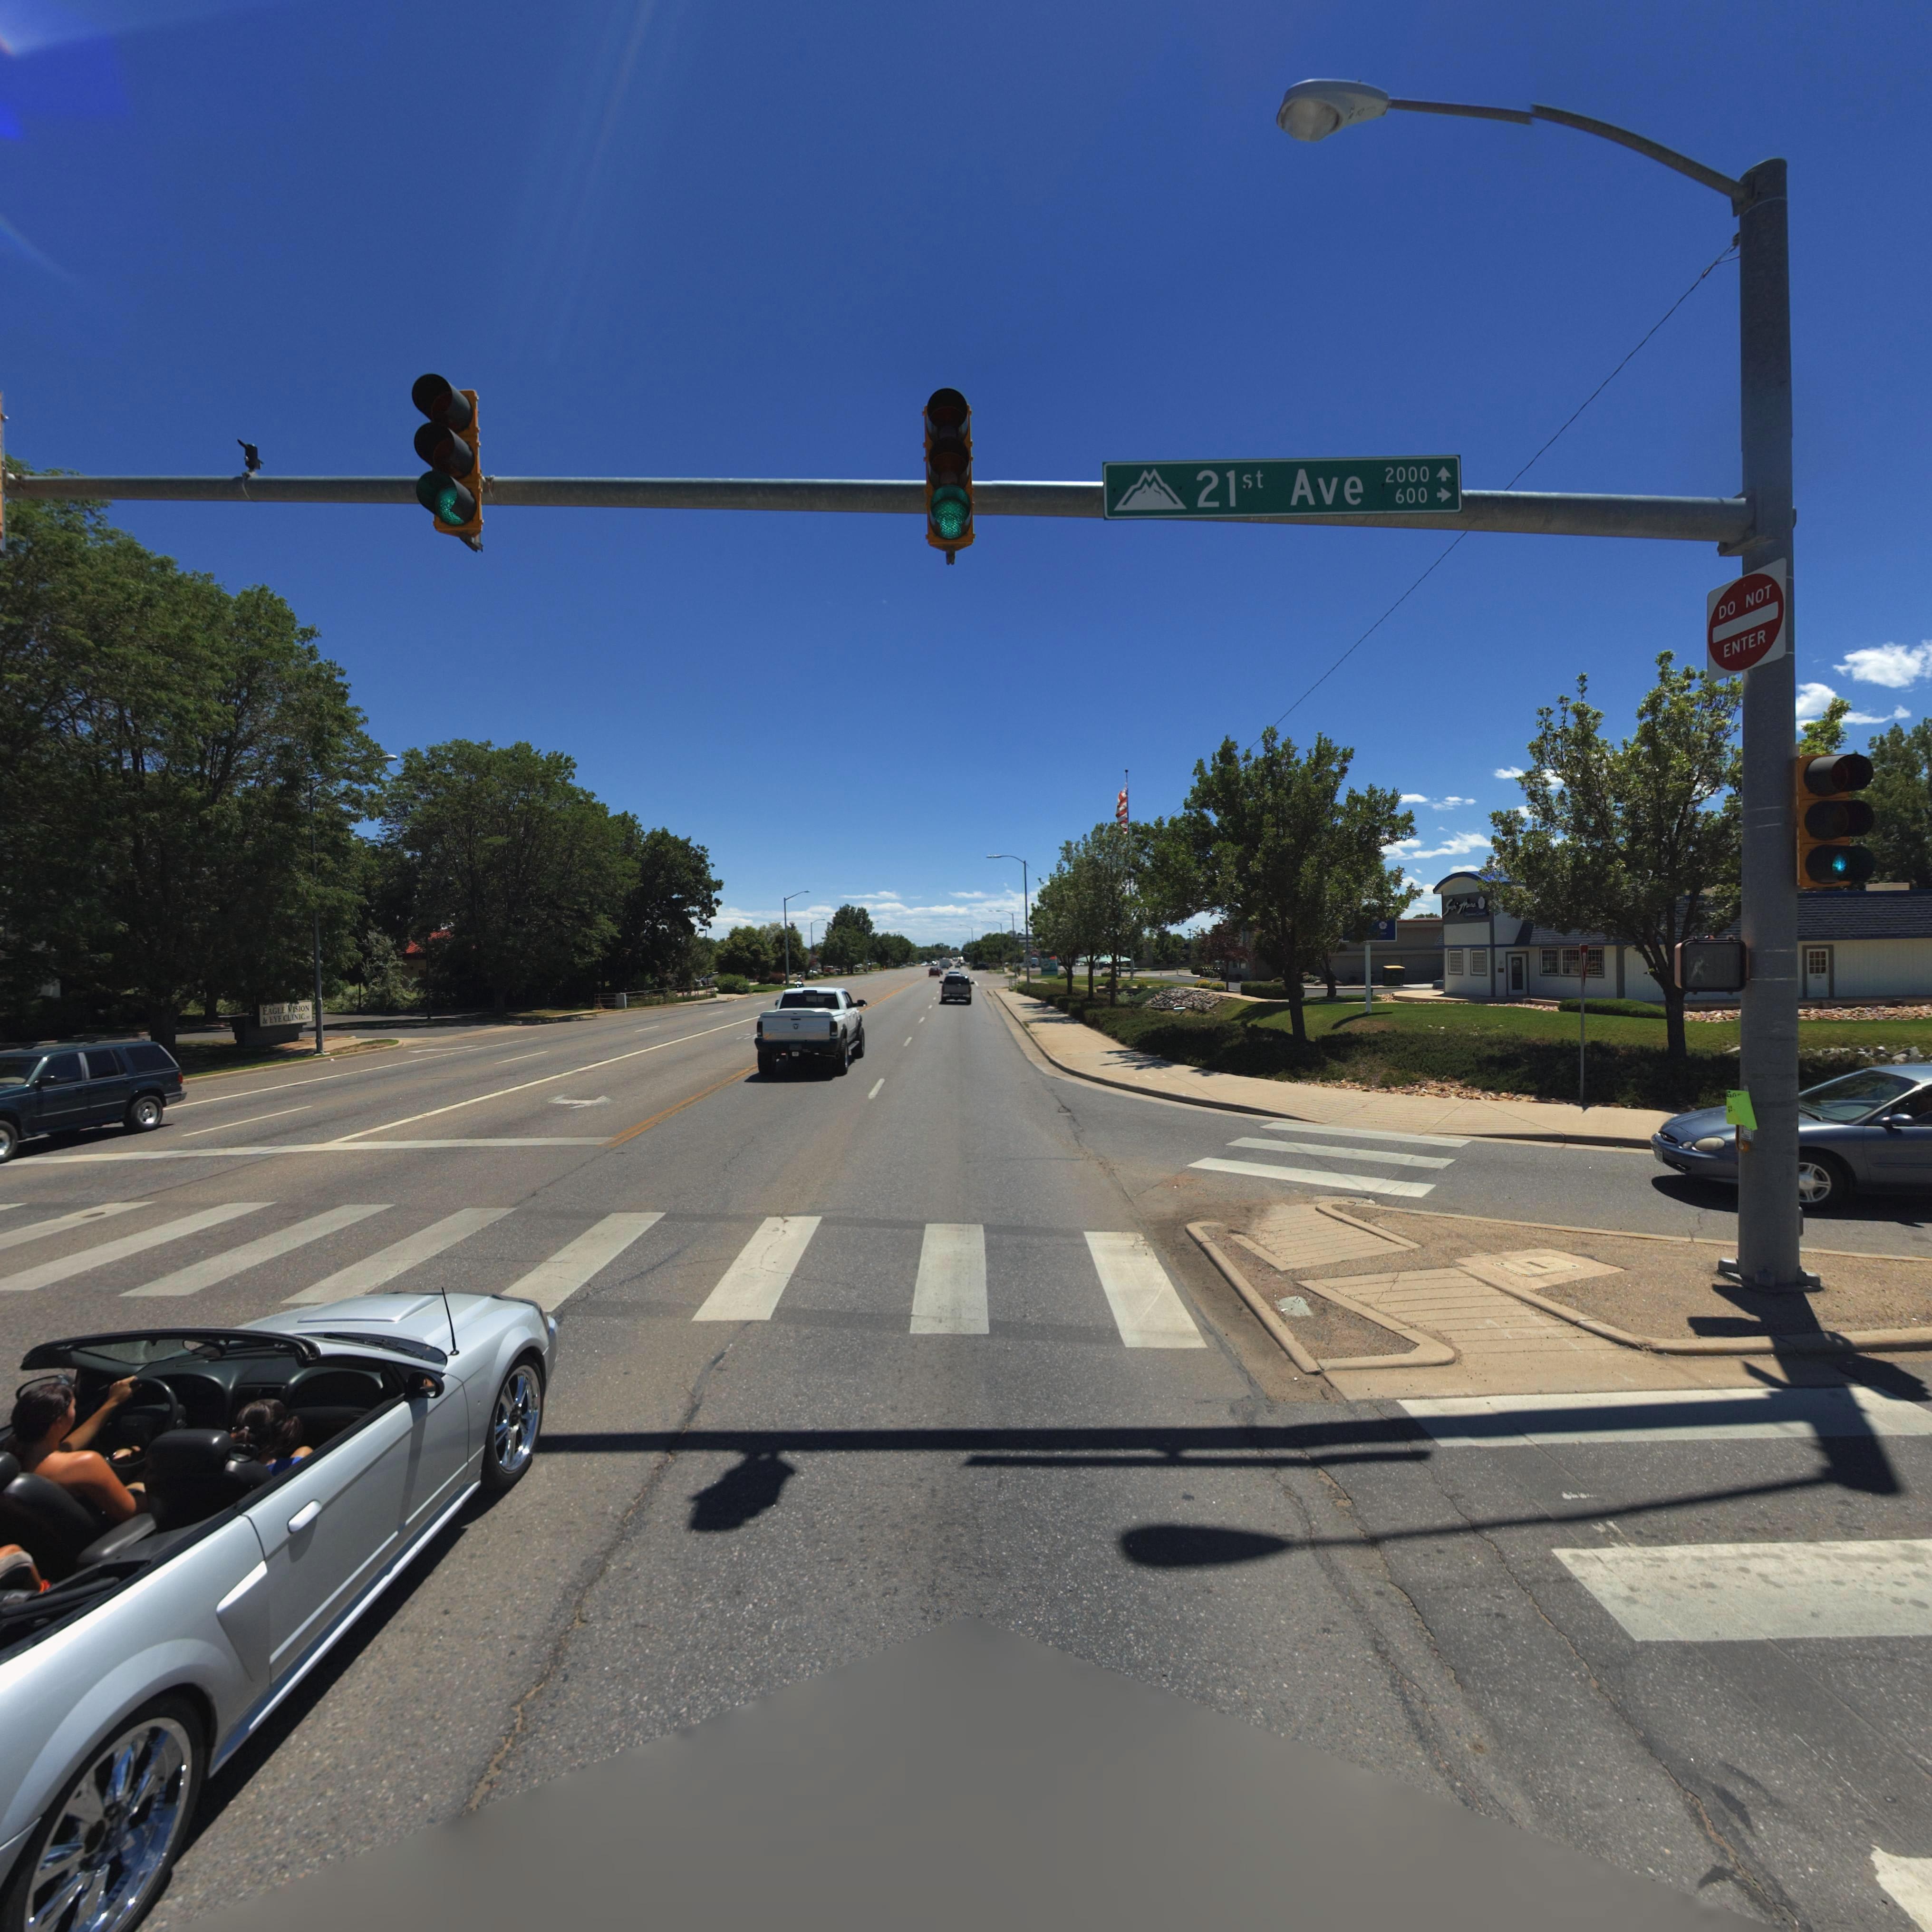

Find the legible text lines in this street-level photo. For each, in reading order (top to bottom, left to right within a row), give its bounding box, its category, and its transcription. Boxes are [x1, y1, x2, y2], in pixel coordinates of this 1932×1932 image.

[1384, 465, 1430, 483] StreetNumberRange: 200
[1194, 468, 1364, 508] StreetName: 21st Ave
[1394, 486, 1452, 504] StreetNumberRange: 600 ->
[1441, 898, 1477, 917] BusinessName: S***** A***
[261, 1013, 305, 1024] BusinessName: & EYE CLINIC
[262, 1004, 309, 1015] BusinessName: EAGLE VISION